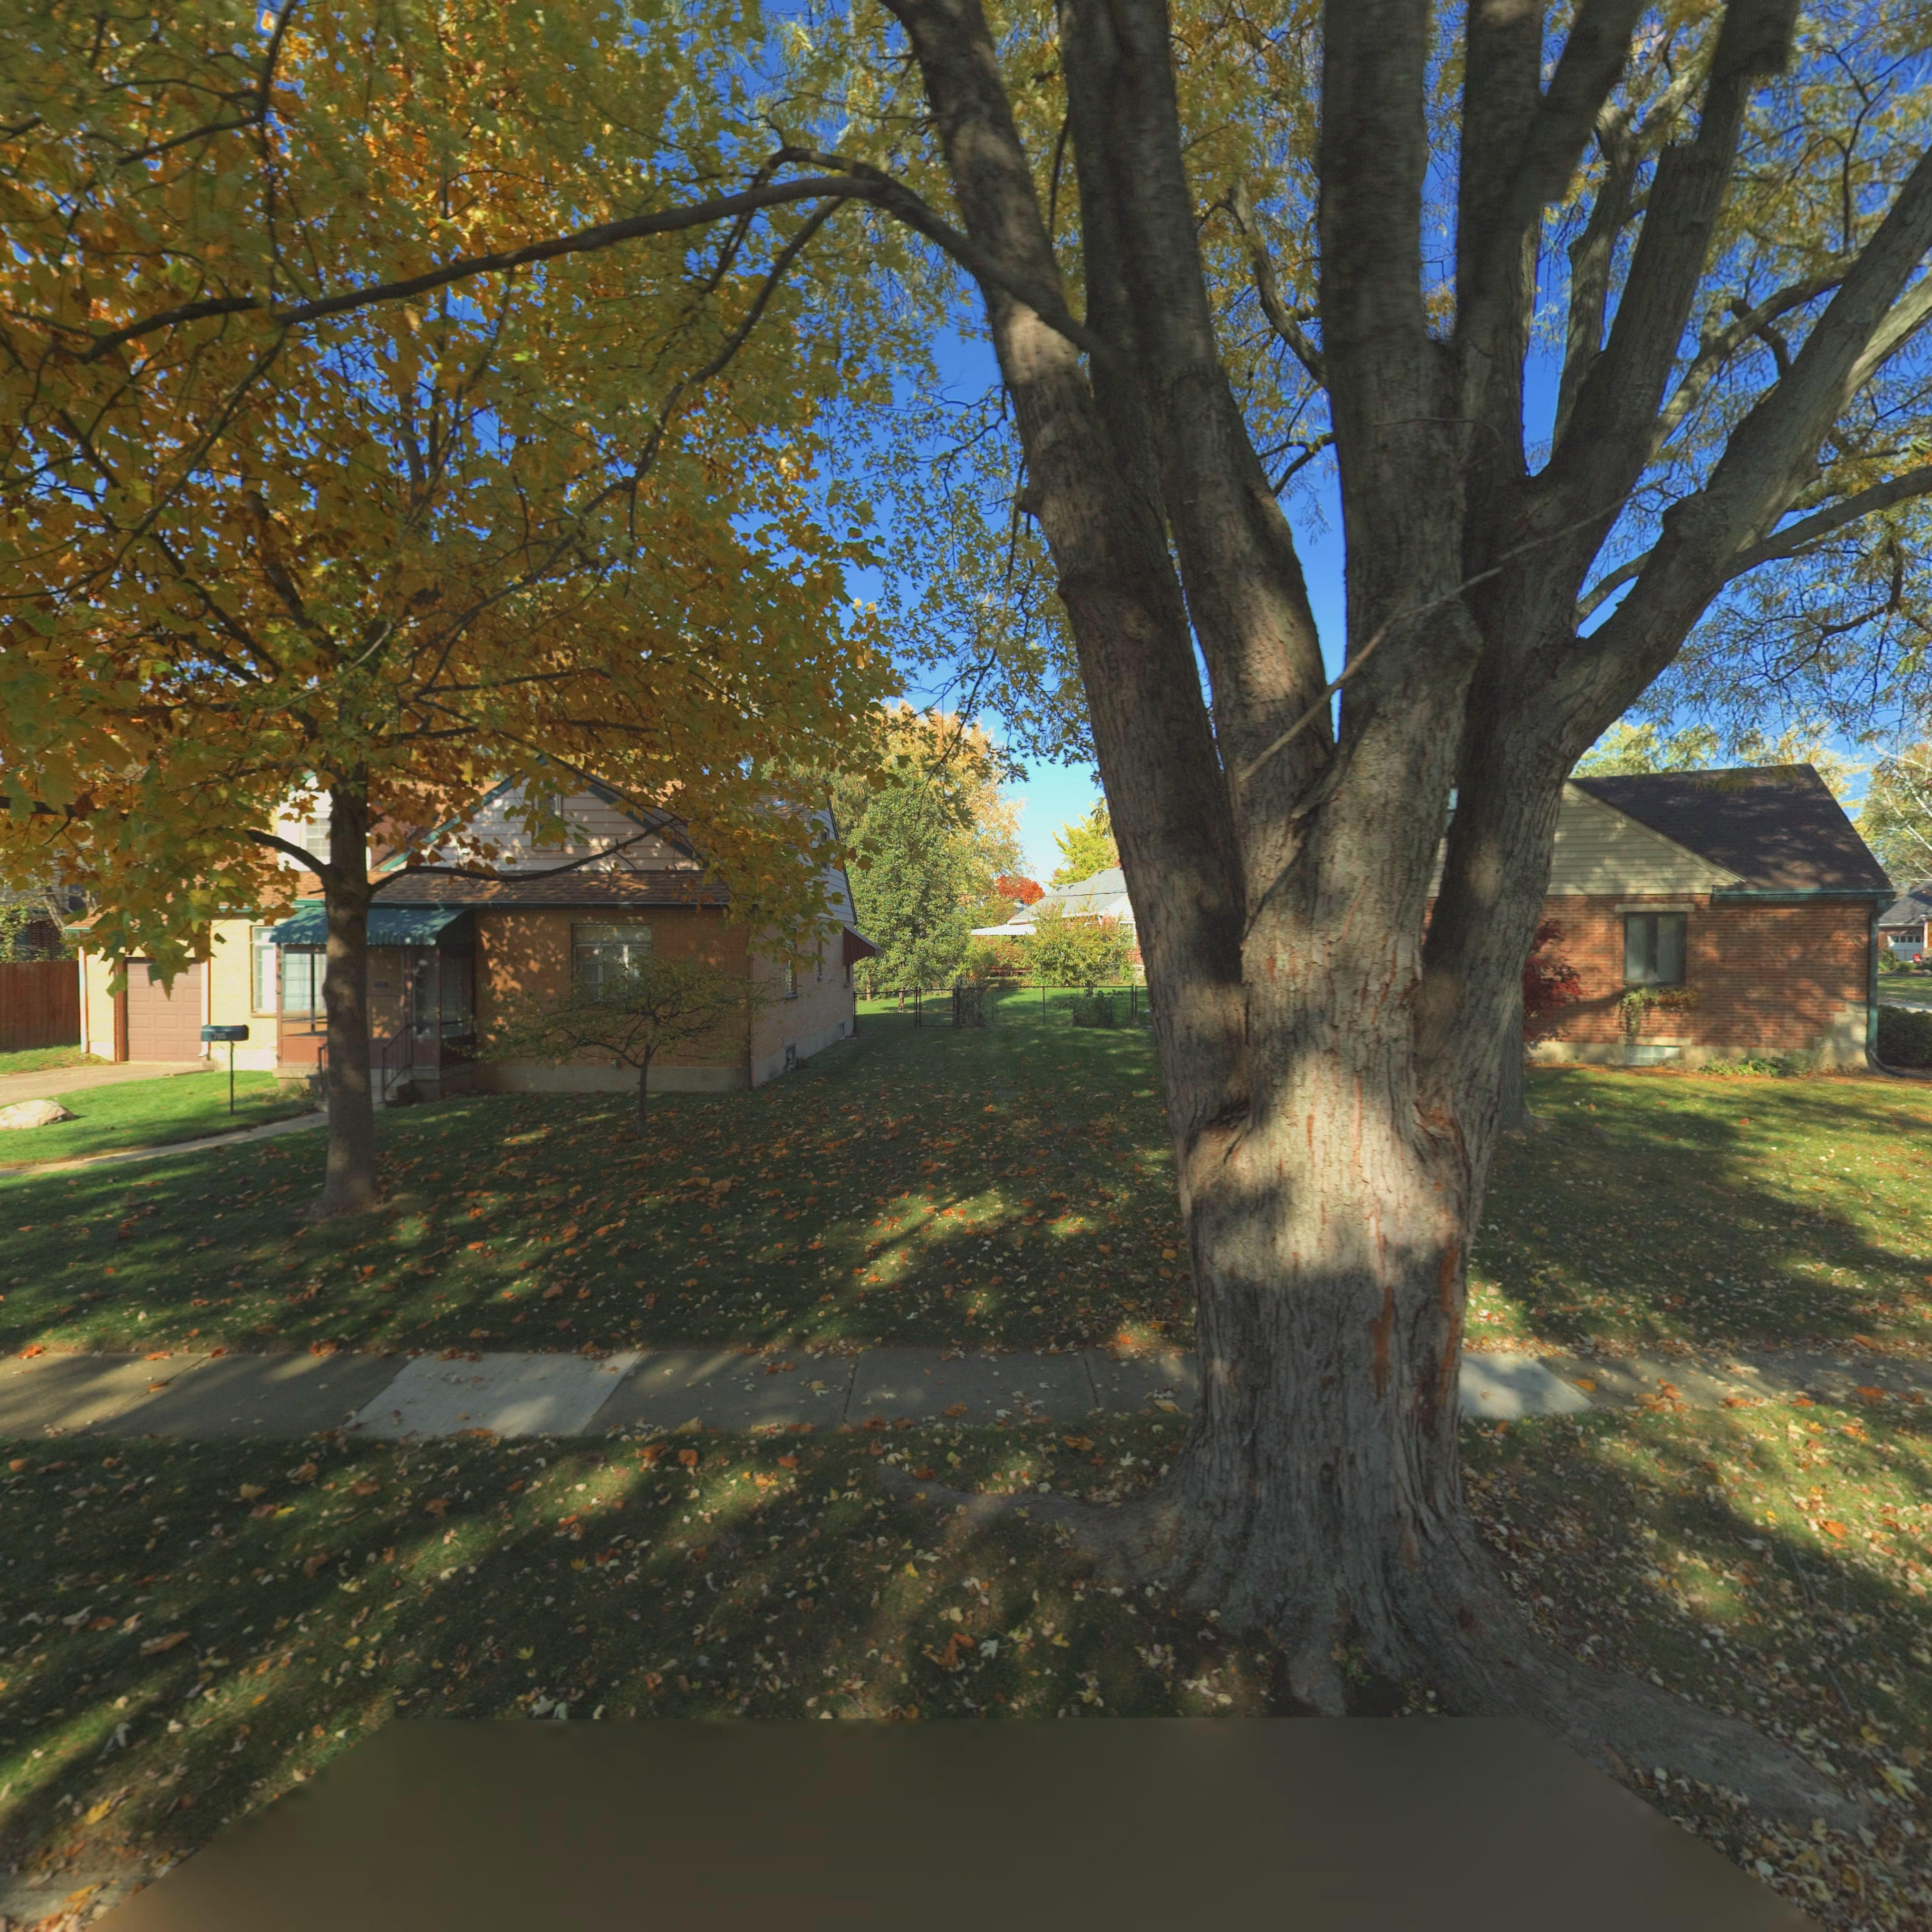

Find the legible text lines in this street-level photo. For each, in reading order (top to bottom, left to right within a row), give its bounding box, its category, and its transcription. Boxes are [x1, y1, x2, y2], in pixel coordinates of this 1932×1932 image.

[213, 1032, 227, 1040] StreetNumber: 705